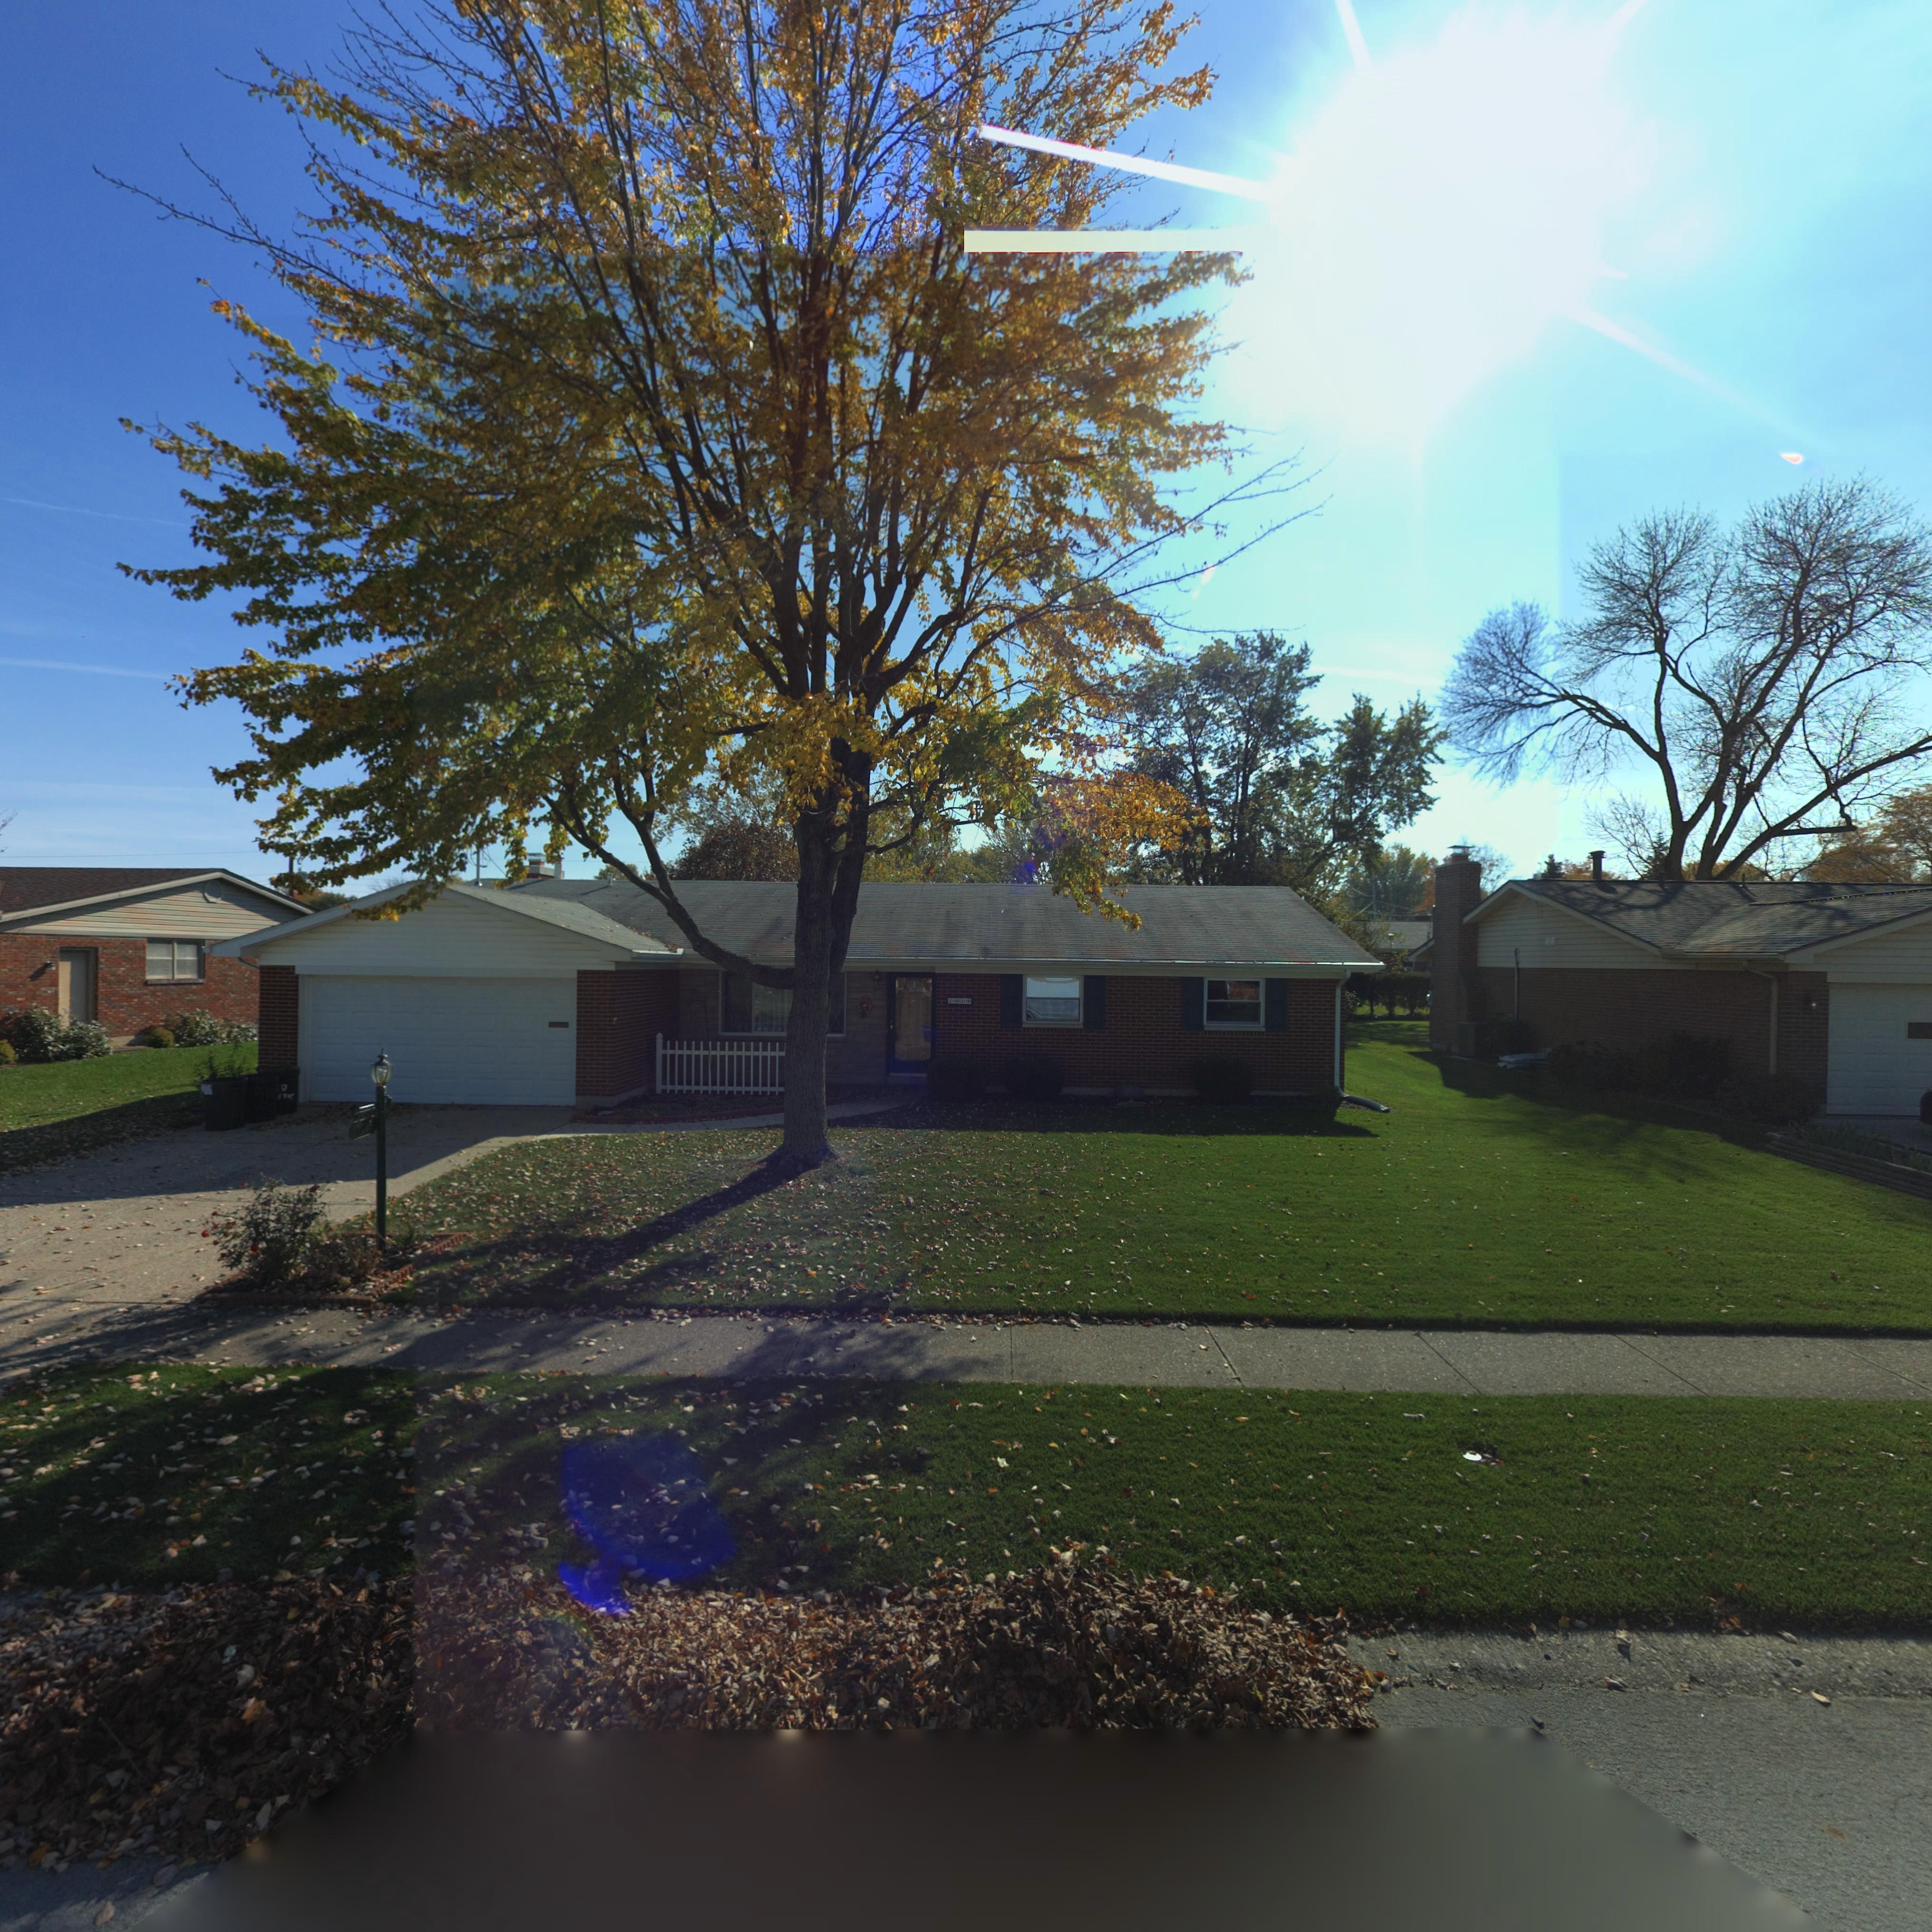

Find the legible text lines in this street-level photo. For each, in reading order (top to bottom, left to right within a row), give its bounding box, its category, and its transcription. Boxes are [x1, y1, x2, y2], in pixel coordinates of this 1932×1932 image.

[949, 998, 970, 1003] StreetNumber: 1018
[355, 1119, 374, 1137] StreetNumber: 1018